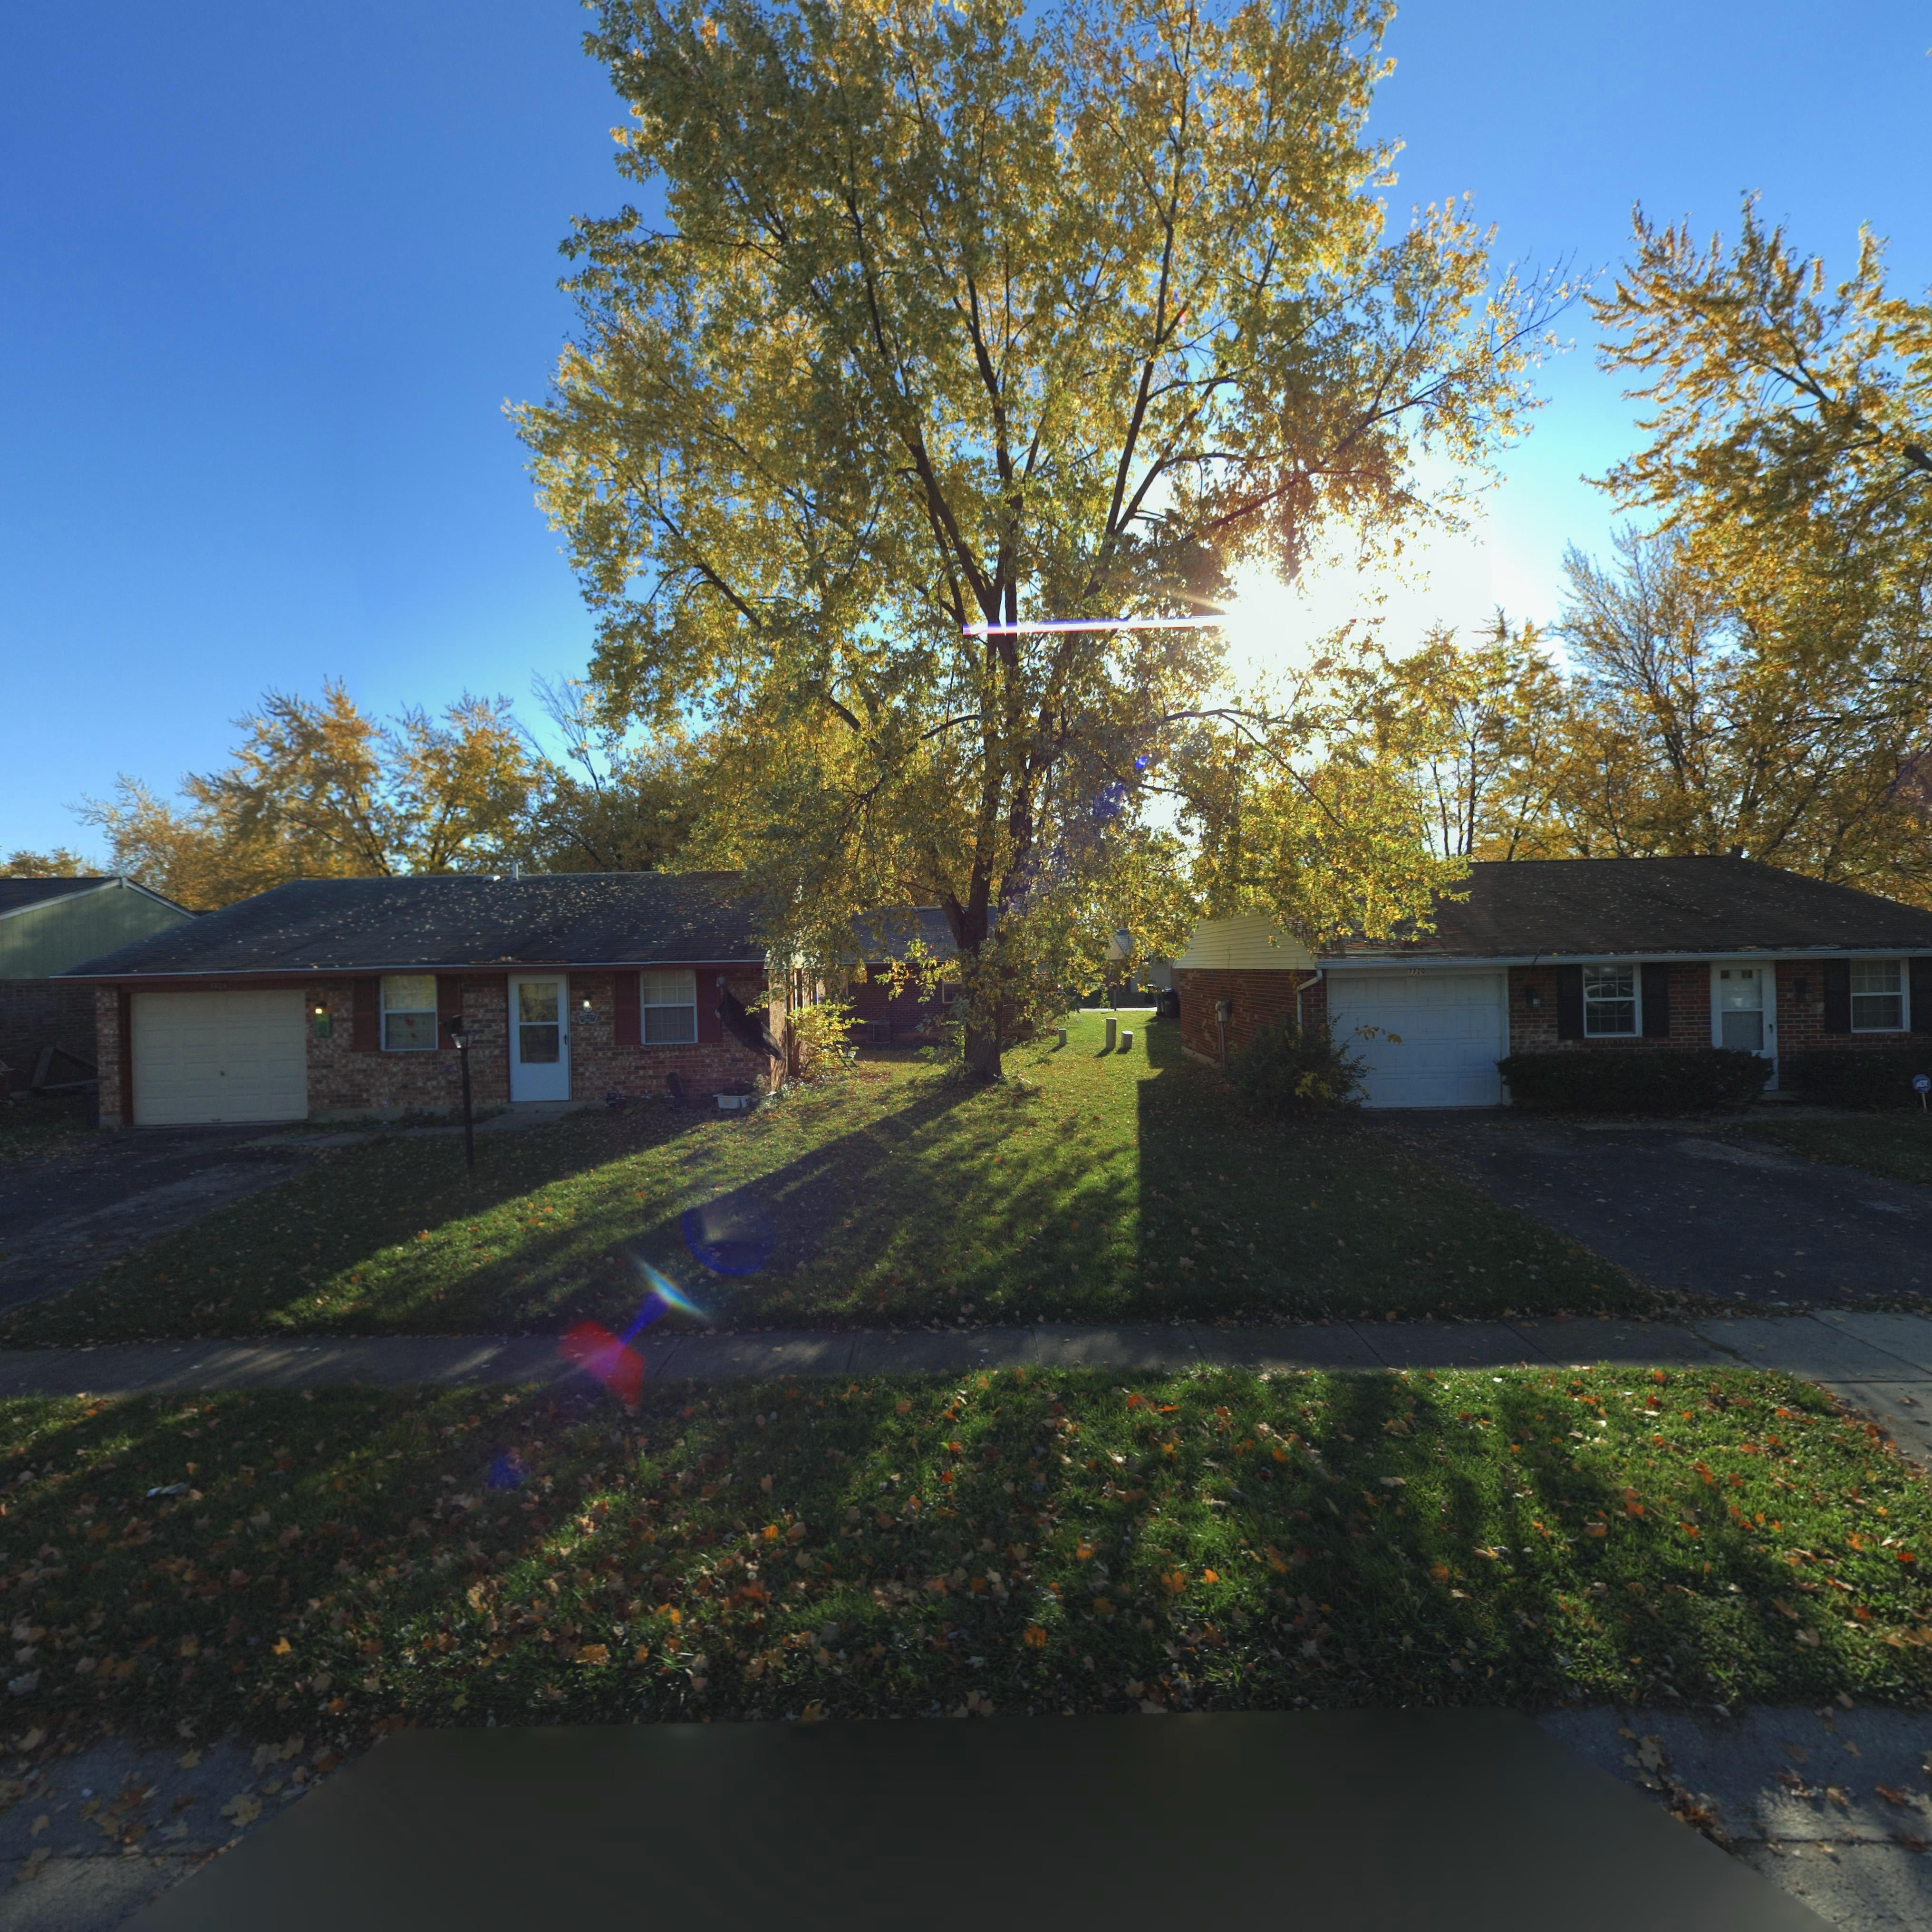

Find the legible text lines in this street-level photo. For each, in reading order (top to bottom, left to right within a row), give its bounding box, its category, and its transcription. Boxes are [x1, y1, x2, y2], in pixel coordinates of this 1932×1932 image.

[1408, 967, 1426, 975] StreetNumber: 7720
[208, 981, 229, 990] StreetNumber: 772*